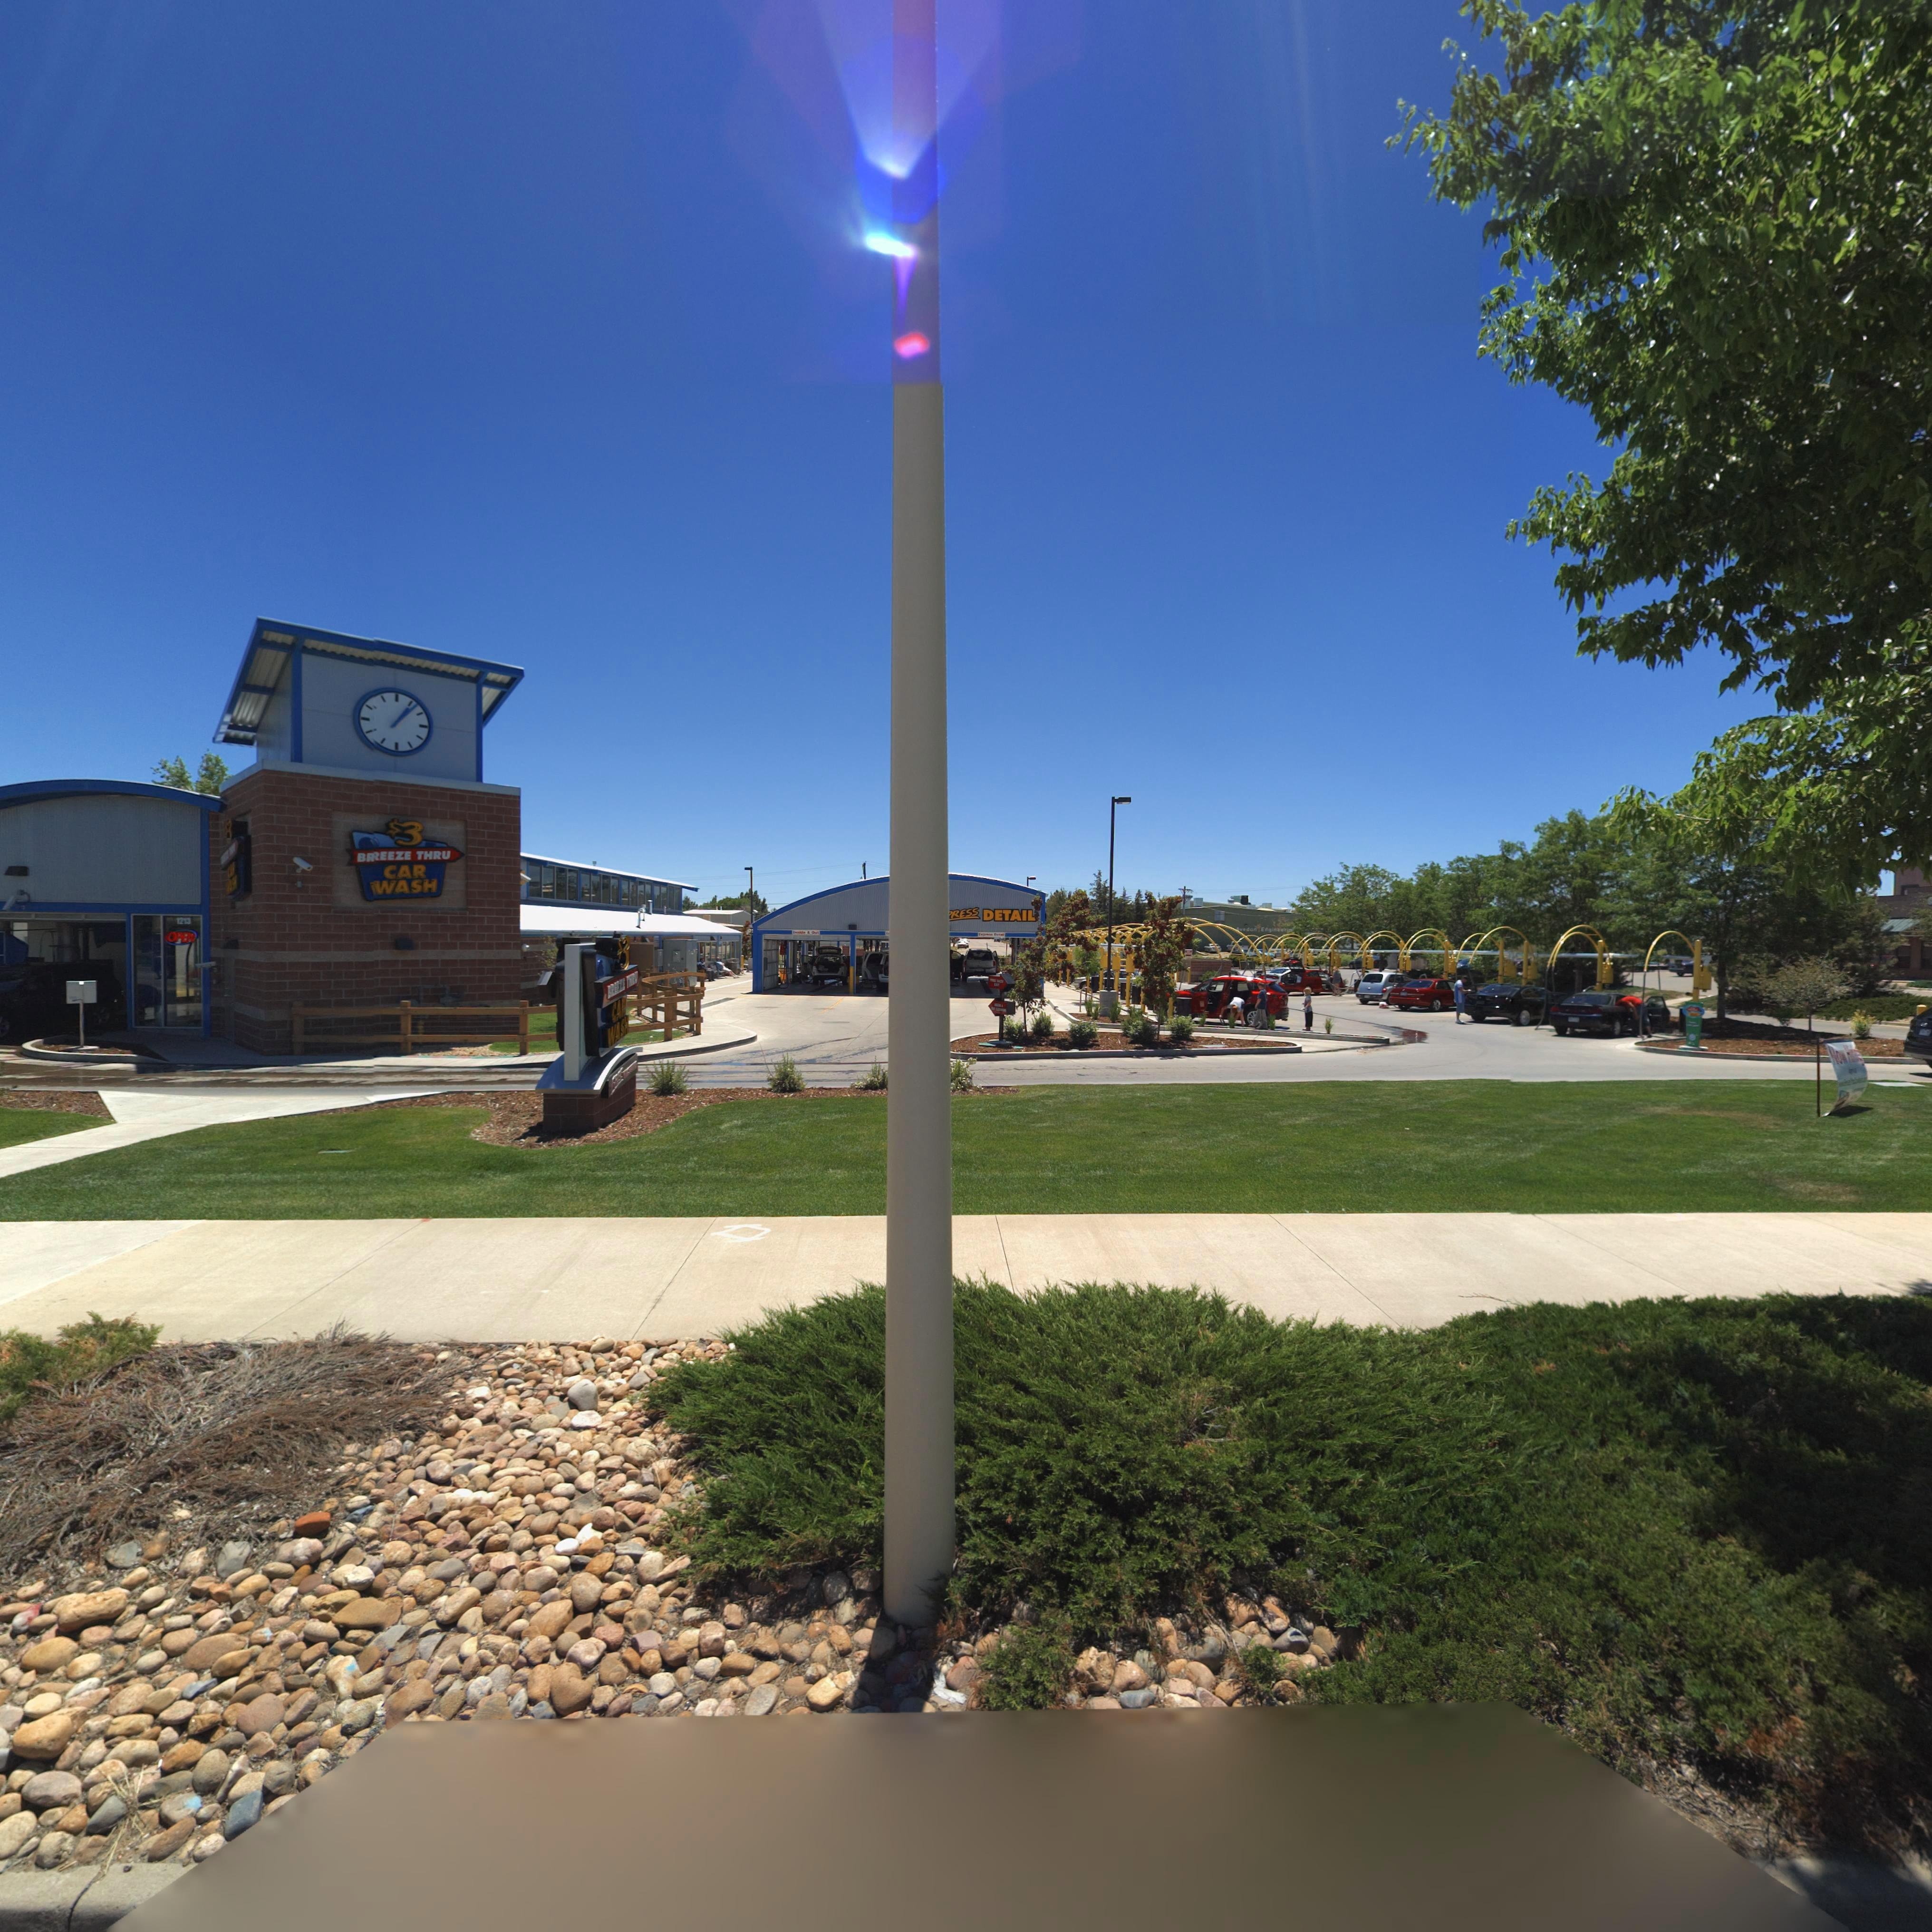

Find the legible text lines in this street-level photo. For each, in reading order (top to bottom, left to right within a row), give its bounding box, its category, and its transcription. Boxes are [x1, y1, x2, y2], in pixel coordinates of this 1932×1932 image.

[356, 850, 452, 862] BusinessName: BR*EEZE THRU
[382, 864, 427, 879] BusinessName: CAR
[369, 878, 438, 896] BusinessName: WASH
[175, 917, 191, 925] StreetNumber: 1213
[607, 970, 638, 999] BusinessName: BREEZE TH**
[610, 995, 627, 1024] BusinessName: CA*
[606, 1014, 629, 1049] BusinessName: WAS*